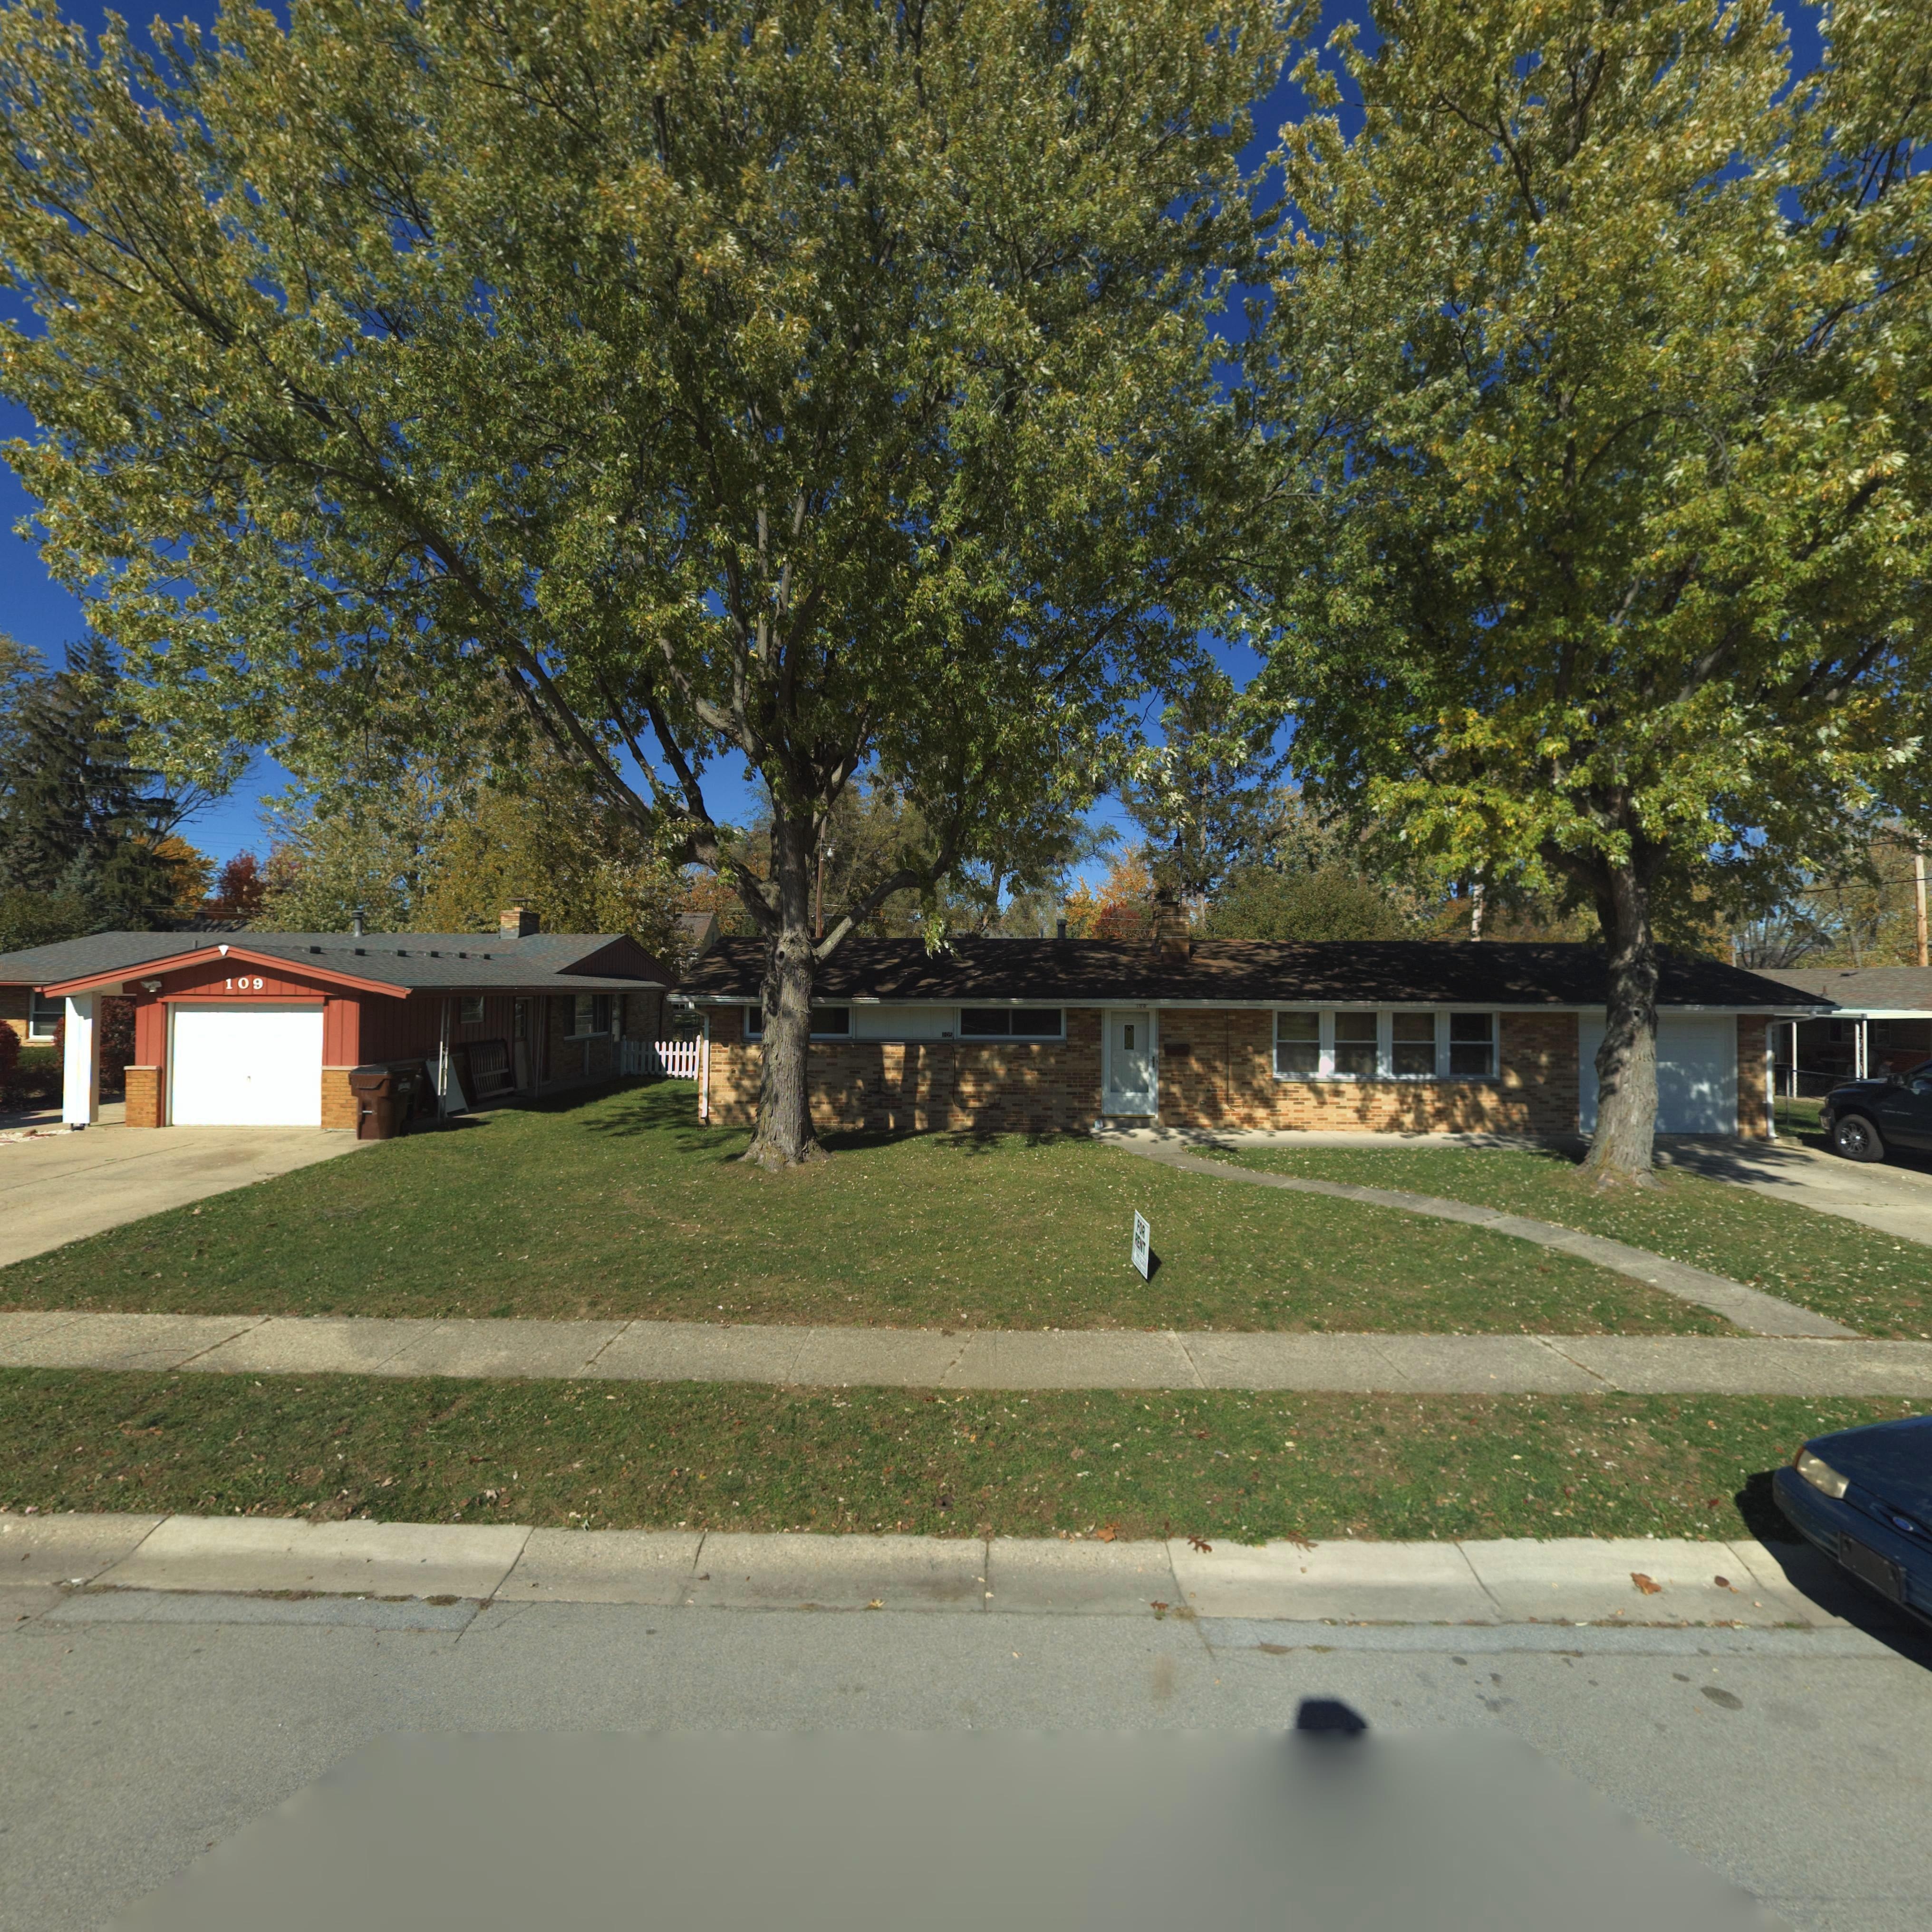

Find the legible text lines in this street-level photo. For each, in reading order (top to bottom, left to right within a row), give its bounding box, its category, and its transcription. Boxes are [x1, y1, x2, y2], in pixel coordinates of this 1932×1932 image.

[224, 977, 264, 991] StreetNumber: 109